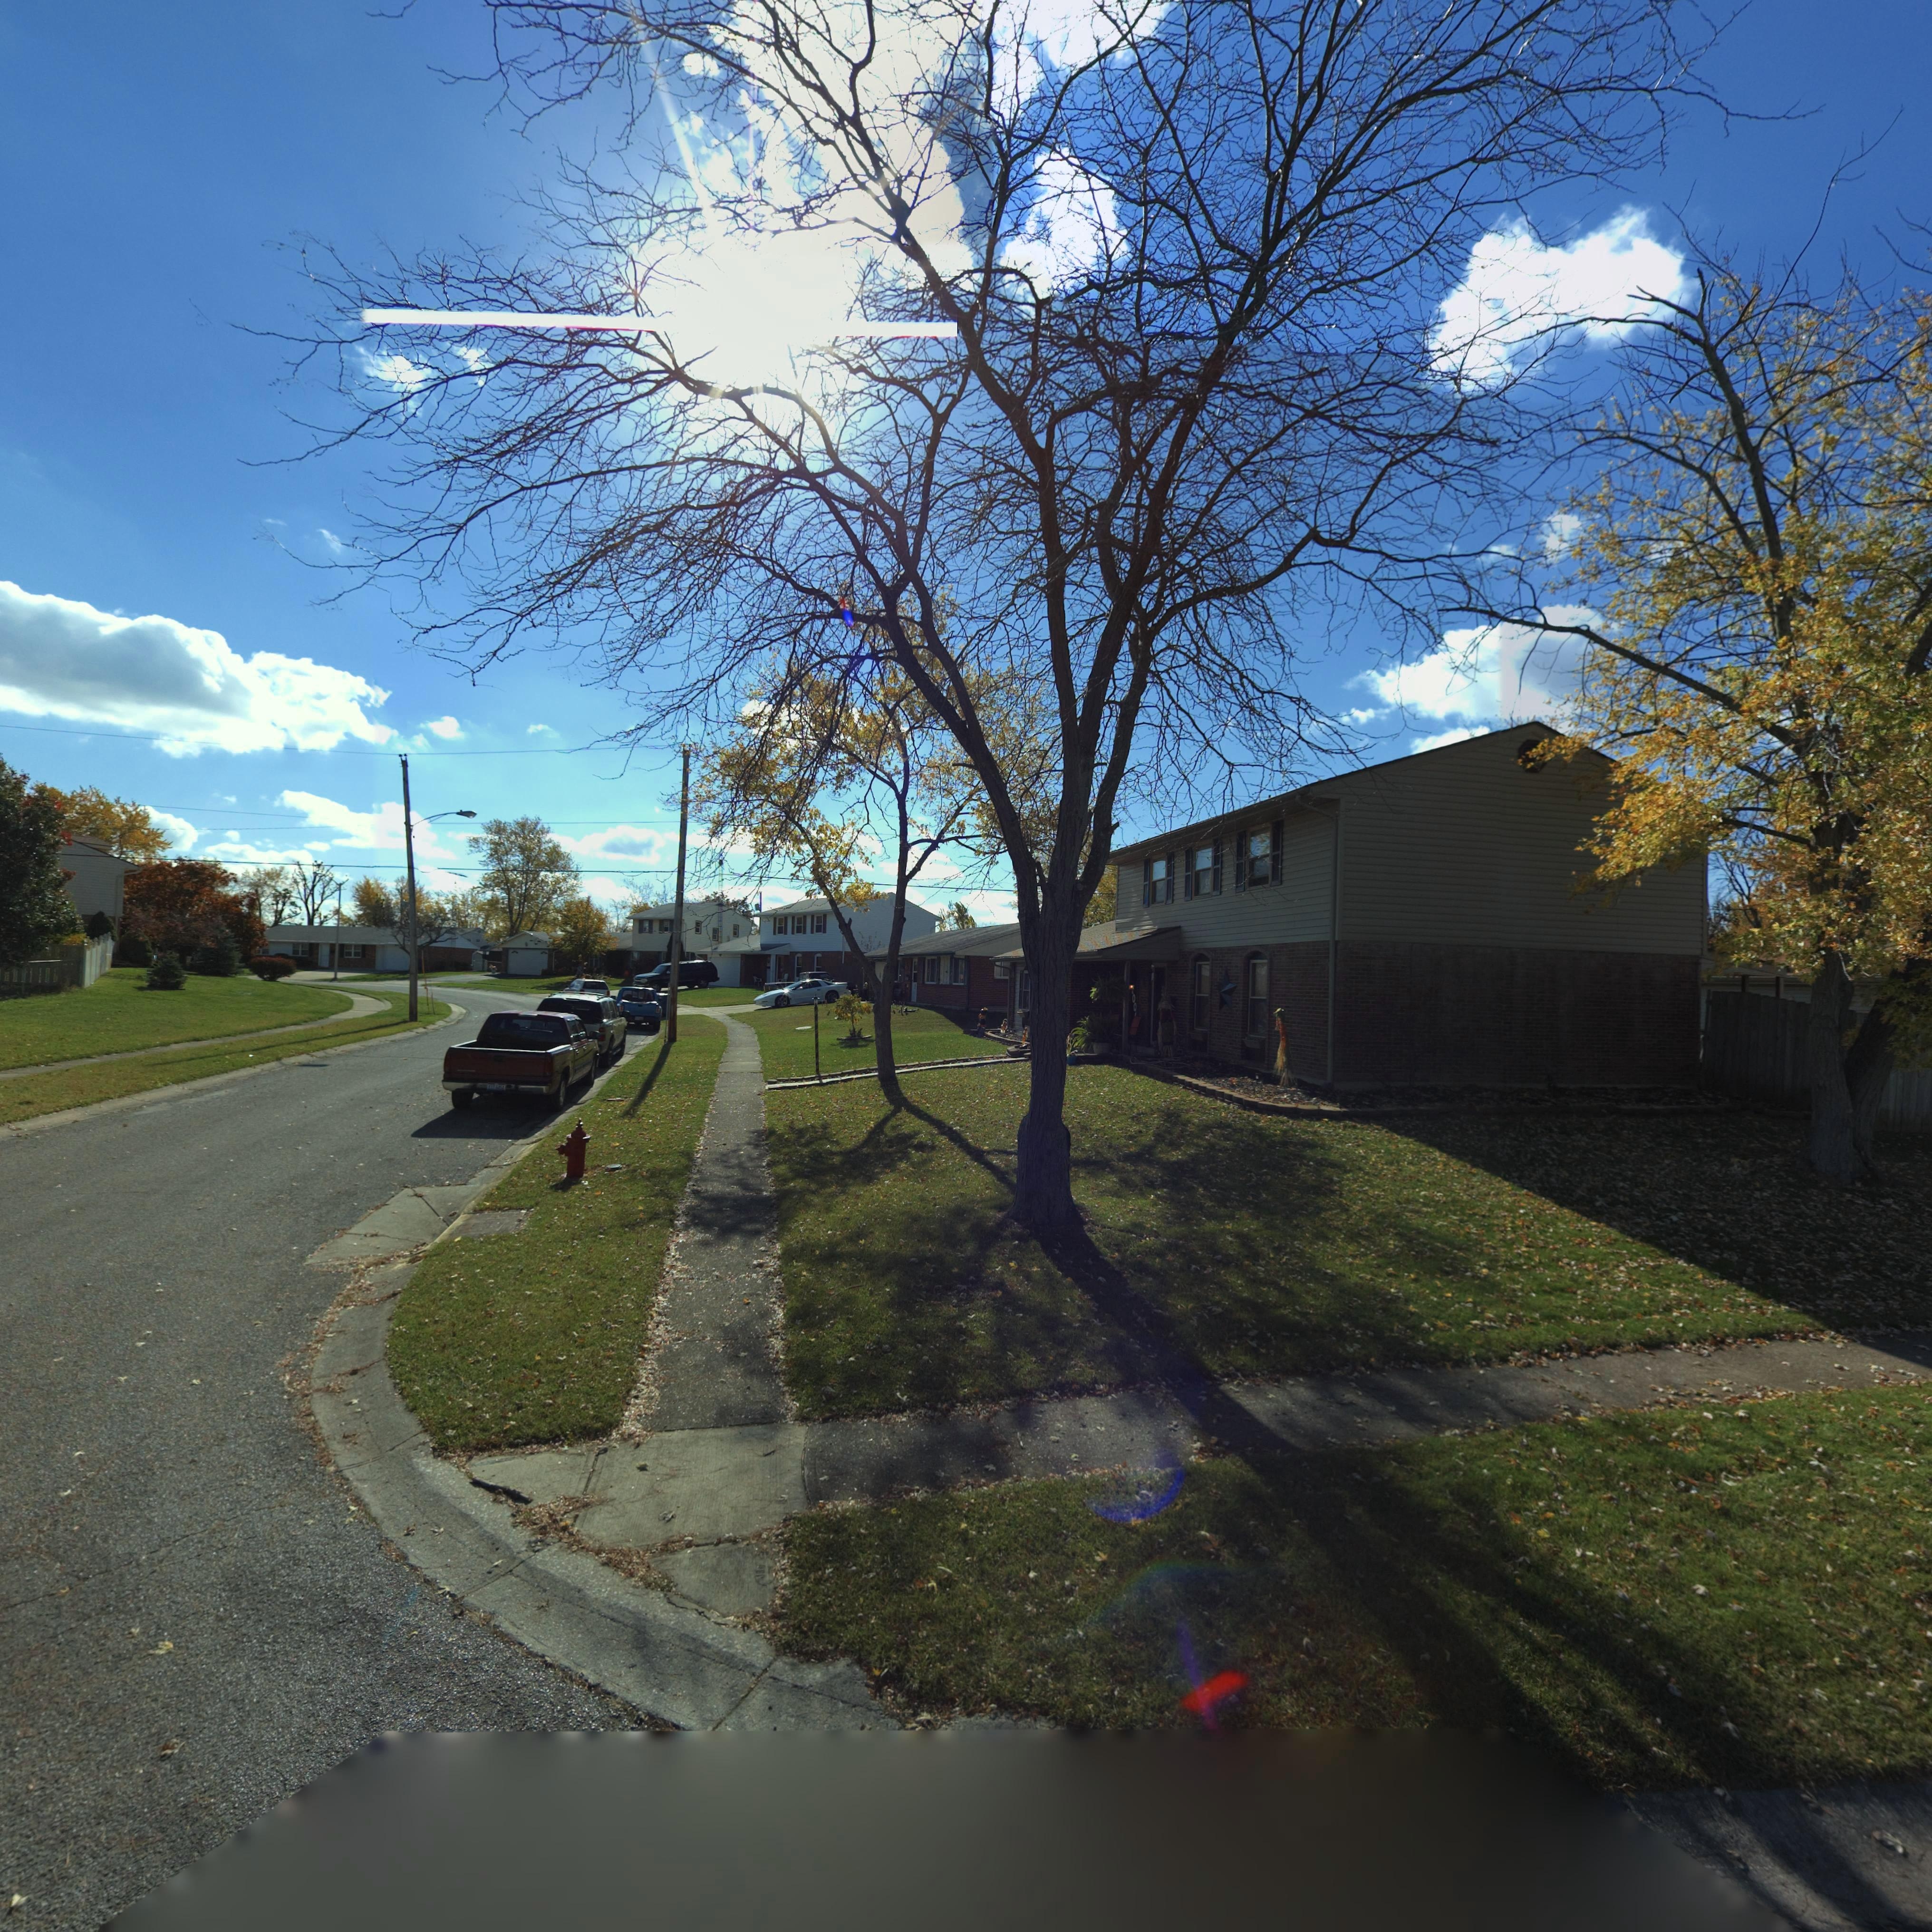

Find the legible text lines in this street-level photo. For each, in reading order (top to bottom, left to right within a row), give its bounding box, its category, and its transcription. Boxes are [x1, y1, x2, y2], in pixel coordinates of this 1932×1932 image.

[1131, 993, 1138, 1013] StreetNumber: 00